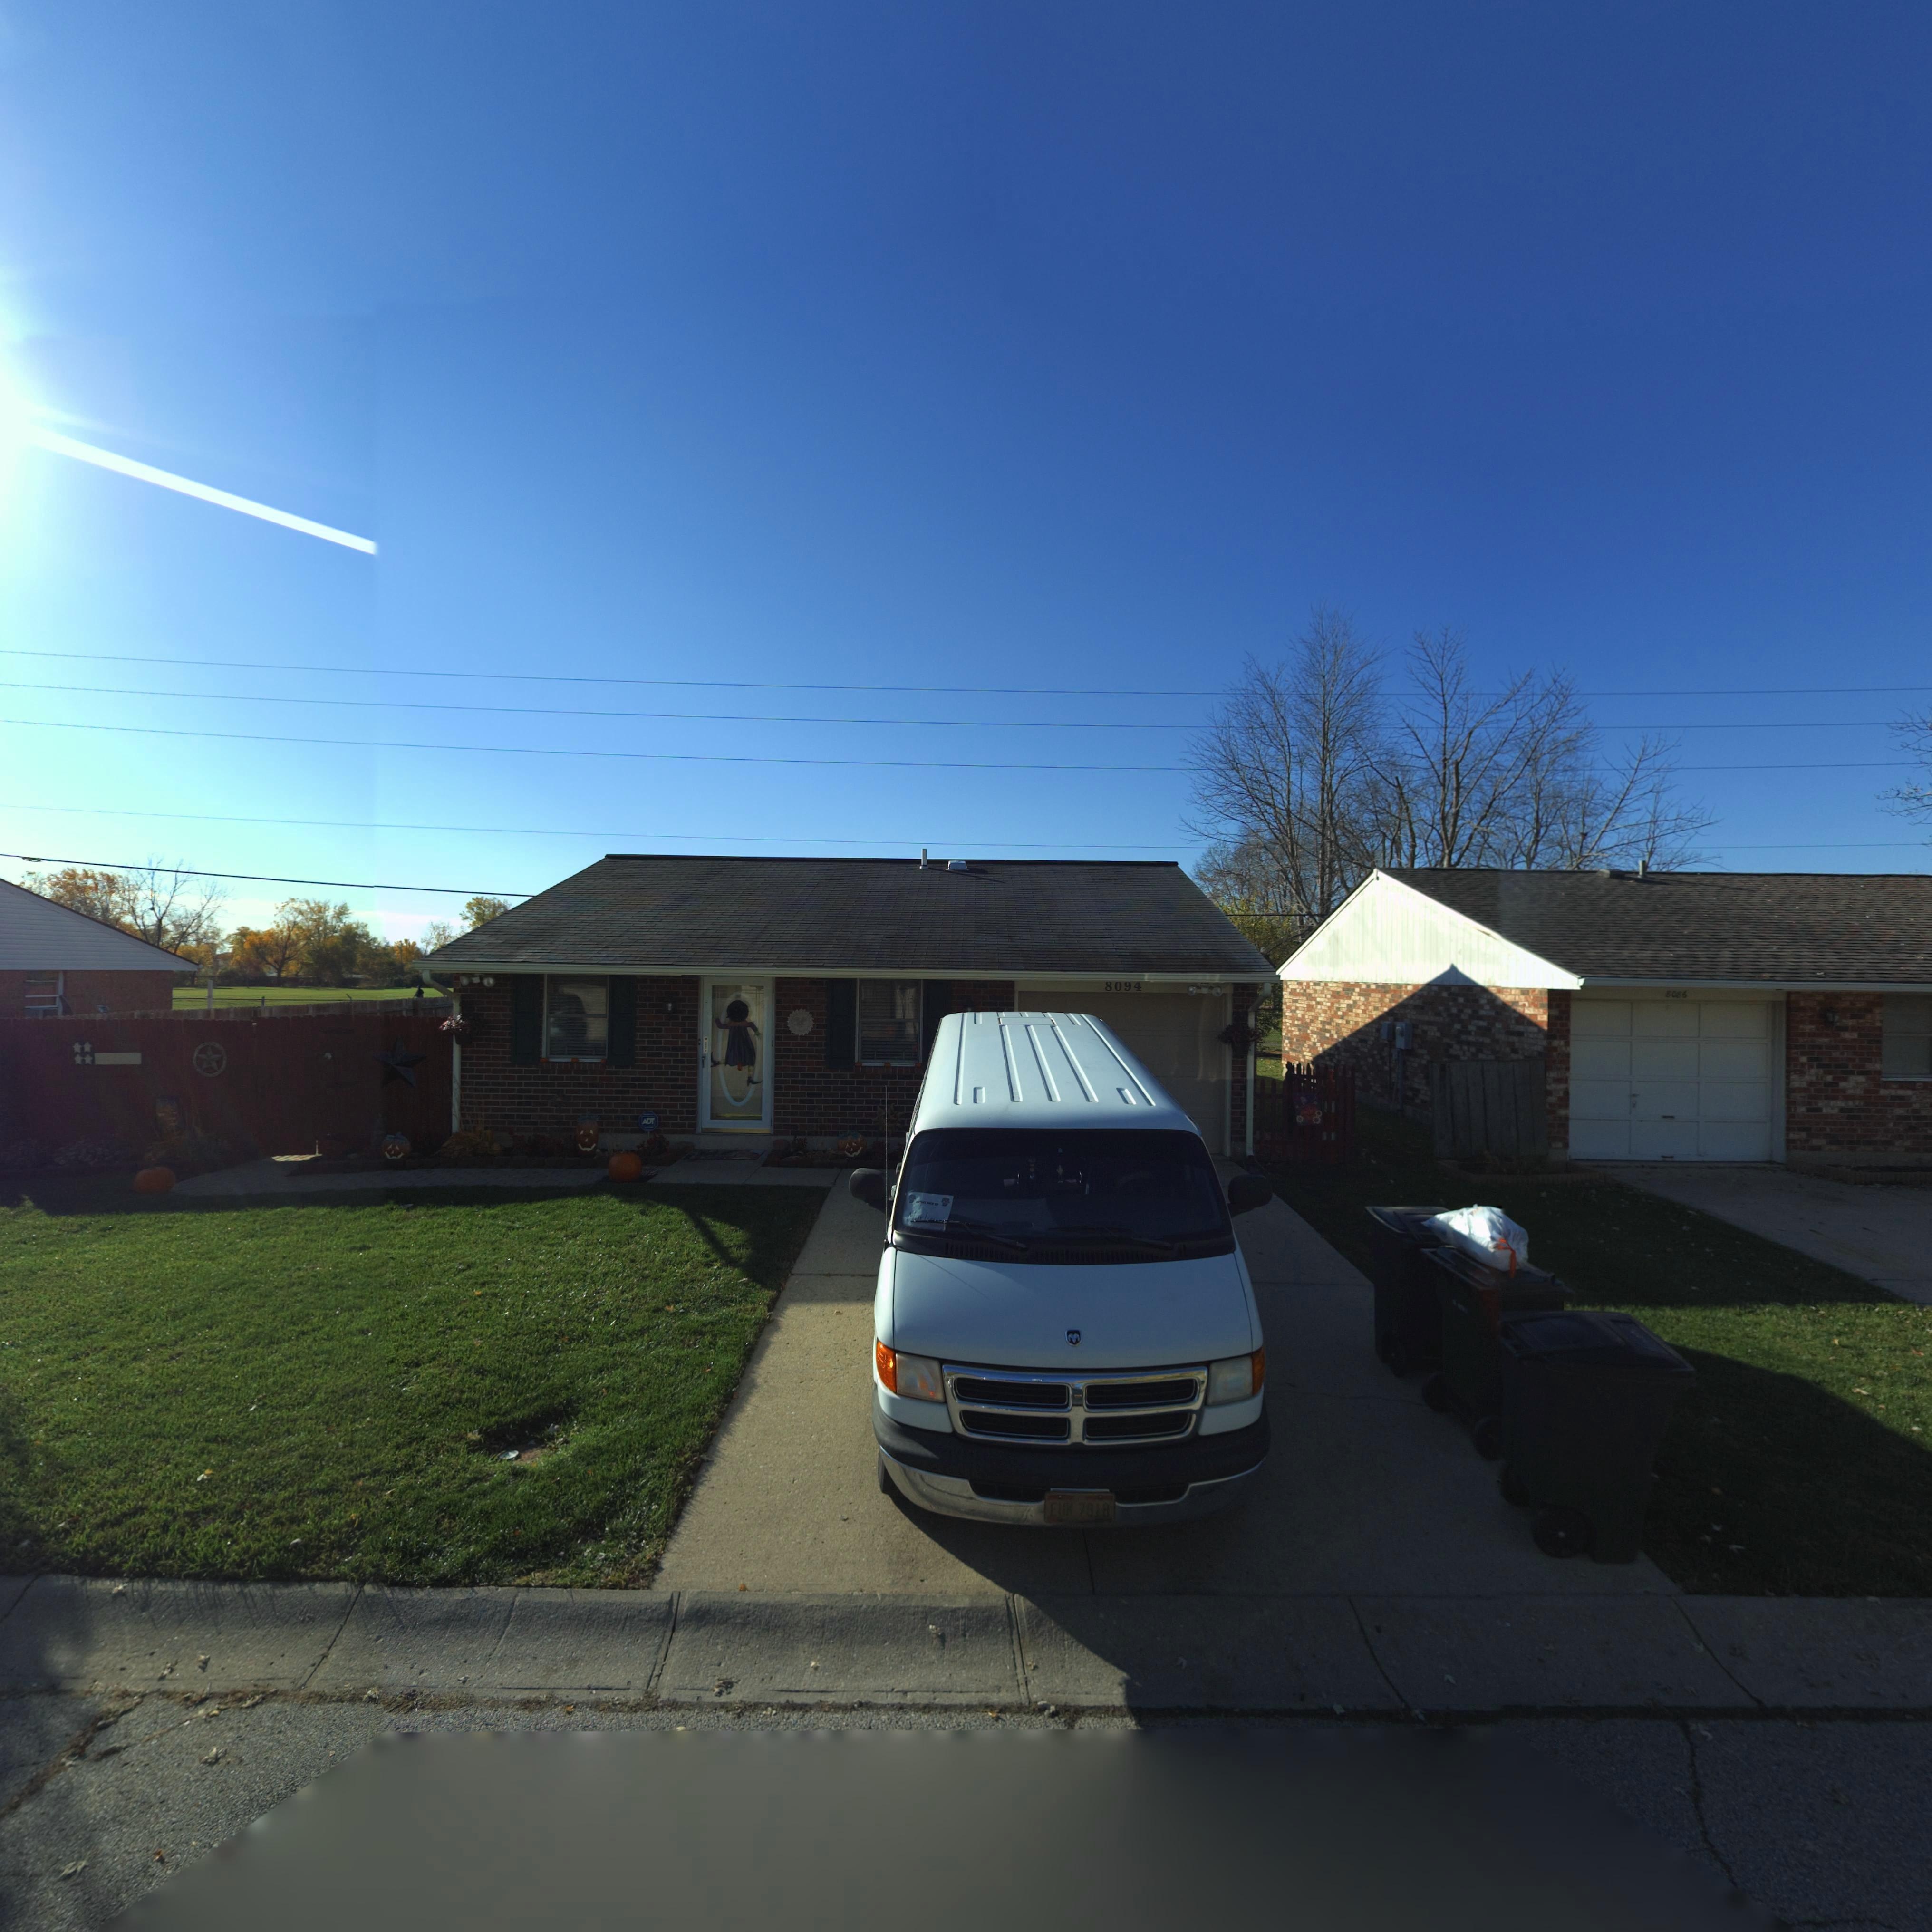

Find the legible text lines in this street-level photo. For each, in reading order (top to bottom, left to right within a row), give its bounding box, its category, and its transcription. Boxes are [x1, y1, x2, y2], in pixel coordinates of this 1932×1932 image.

[1103, 981, 1143, 993] StreetNumber: 8094
[1664, 989, 1689, 999] StreetNumber: 8086